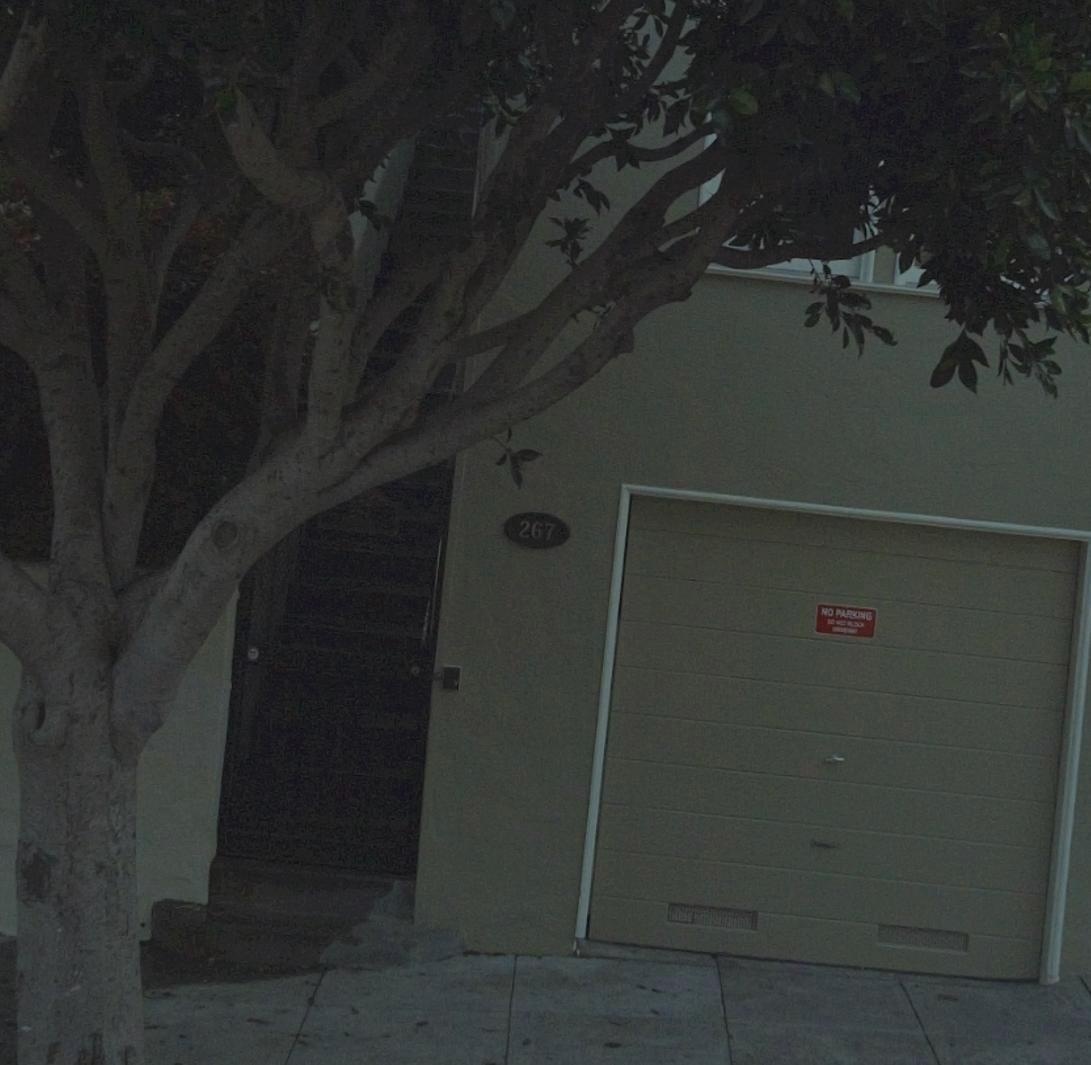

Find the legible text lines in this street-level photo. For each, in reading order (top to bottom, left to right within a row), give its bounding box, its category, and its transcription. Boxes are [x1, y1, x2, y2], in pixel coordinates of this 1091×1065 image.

[518, 519, 557, 540] StreetNumber: 267
[820, 606, 873, 621] None: NO PARKING
[826, 618, 866, 628] None: DO NOT BLOCK